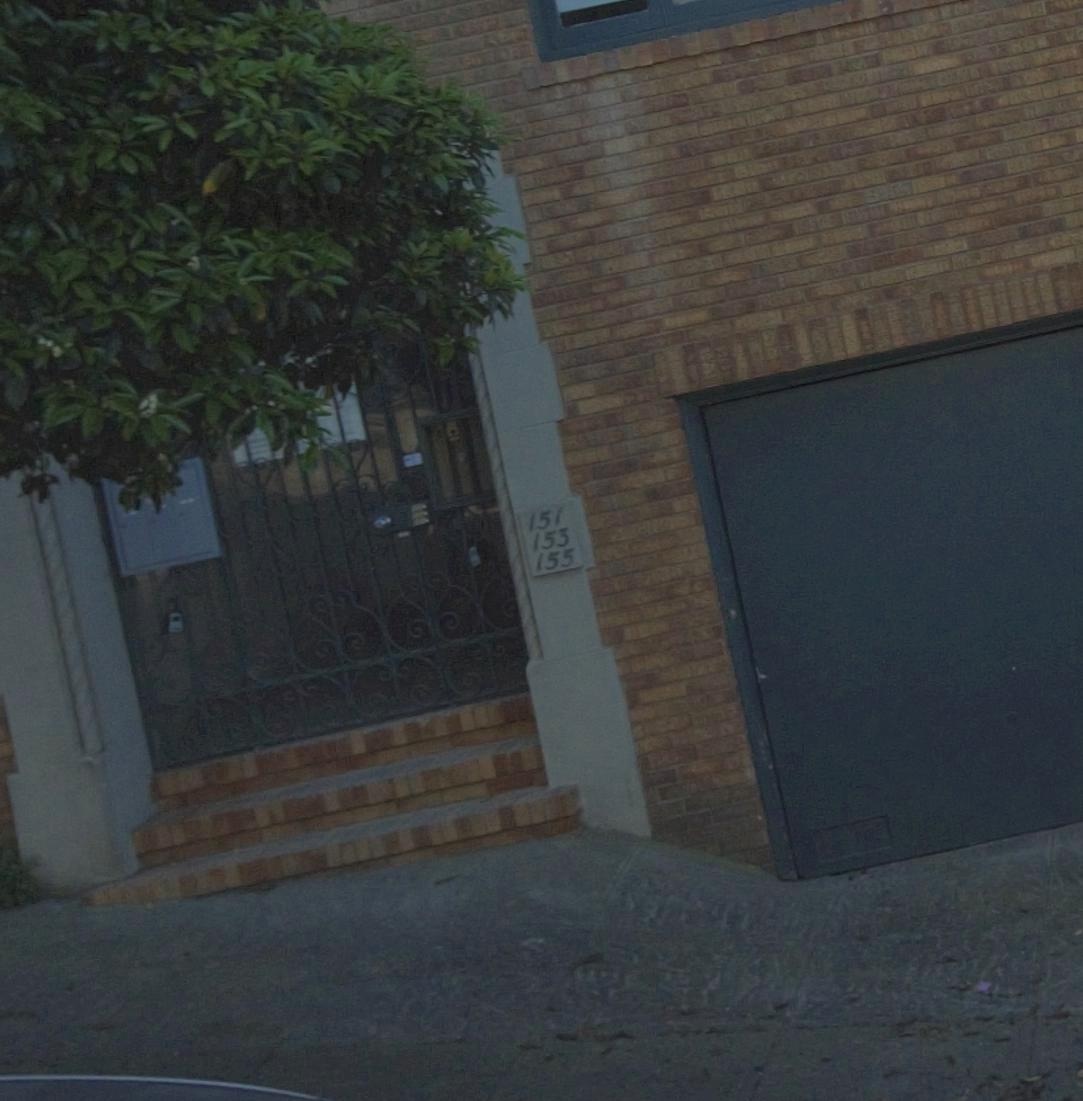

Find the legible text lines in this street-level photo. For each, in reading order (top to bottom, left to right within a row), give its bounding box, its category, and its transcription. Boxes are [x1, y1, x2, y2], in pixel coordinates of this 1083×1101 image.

[525, 504, 567, 533] StreetNumber: 151
[529, 524, 574, 555] StreetNumber: 153
[534, 545, 579, 574] StreetNumber: 155